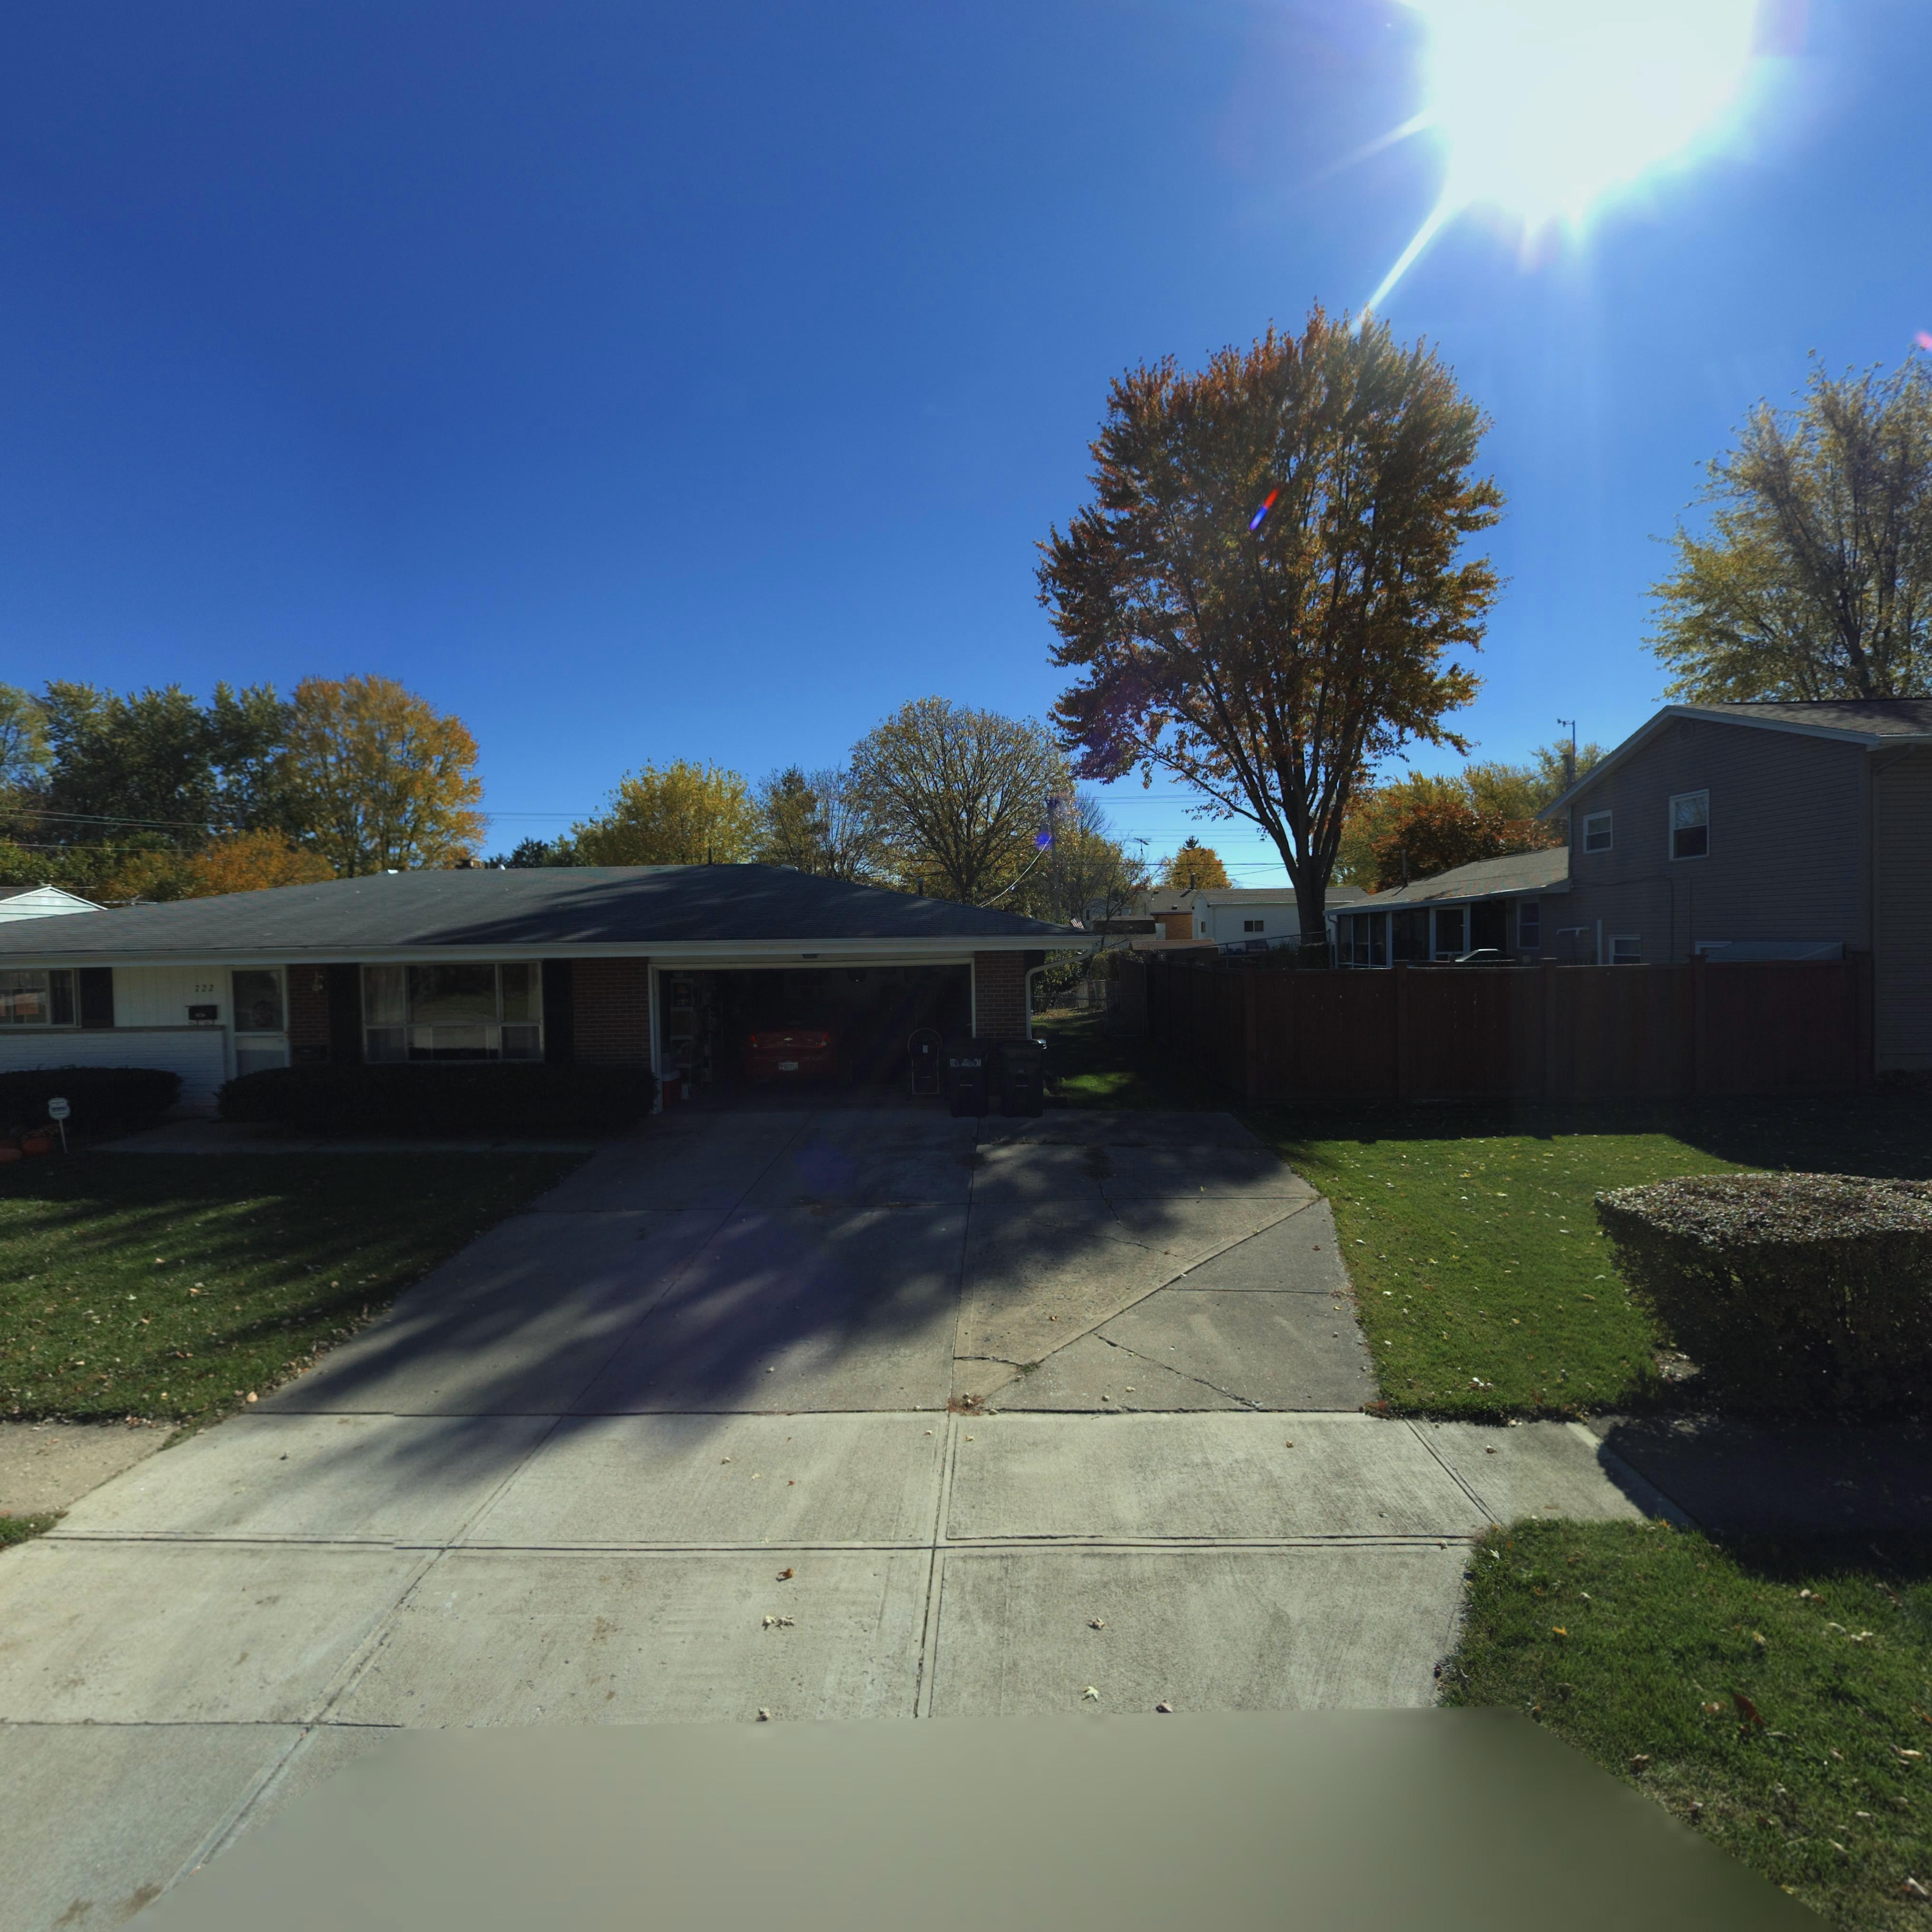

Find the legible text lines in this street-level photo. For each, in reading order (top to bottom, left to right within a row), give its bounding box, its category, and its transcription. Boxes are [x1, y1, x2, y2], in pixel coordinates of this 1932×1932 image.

[194, 984, 214, 993] StreetNumber: 722